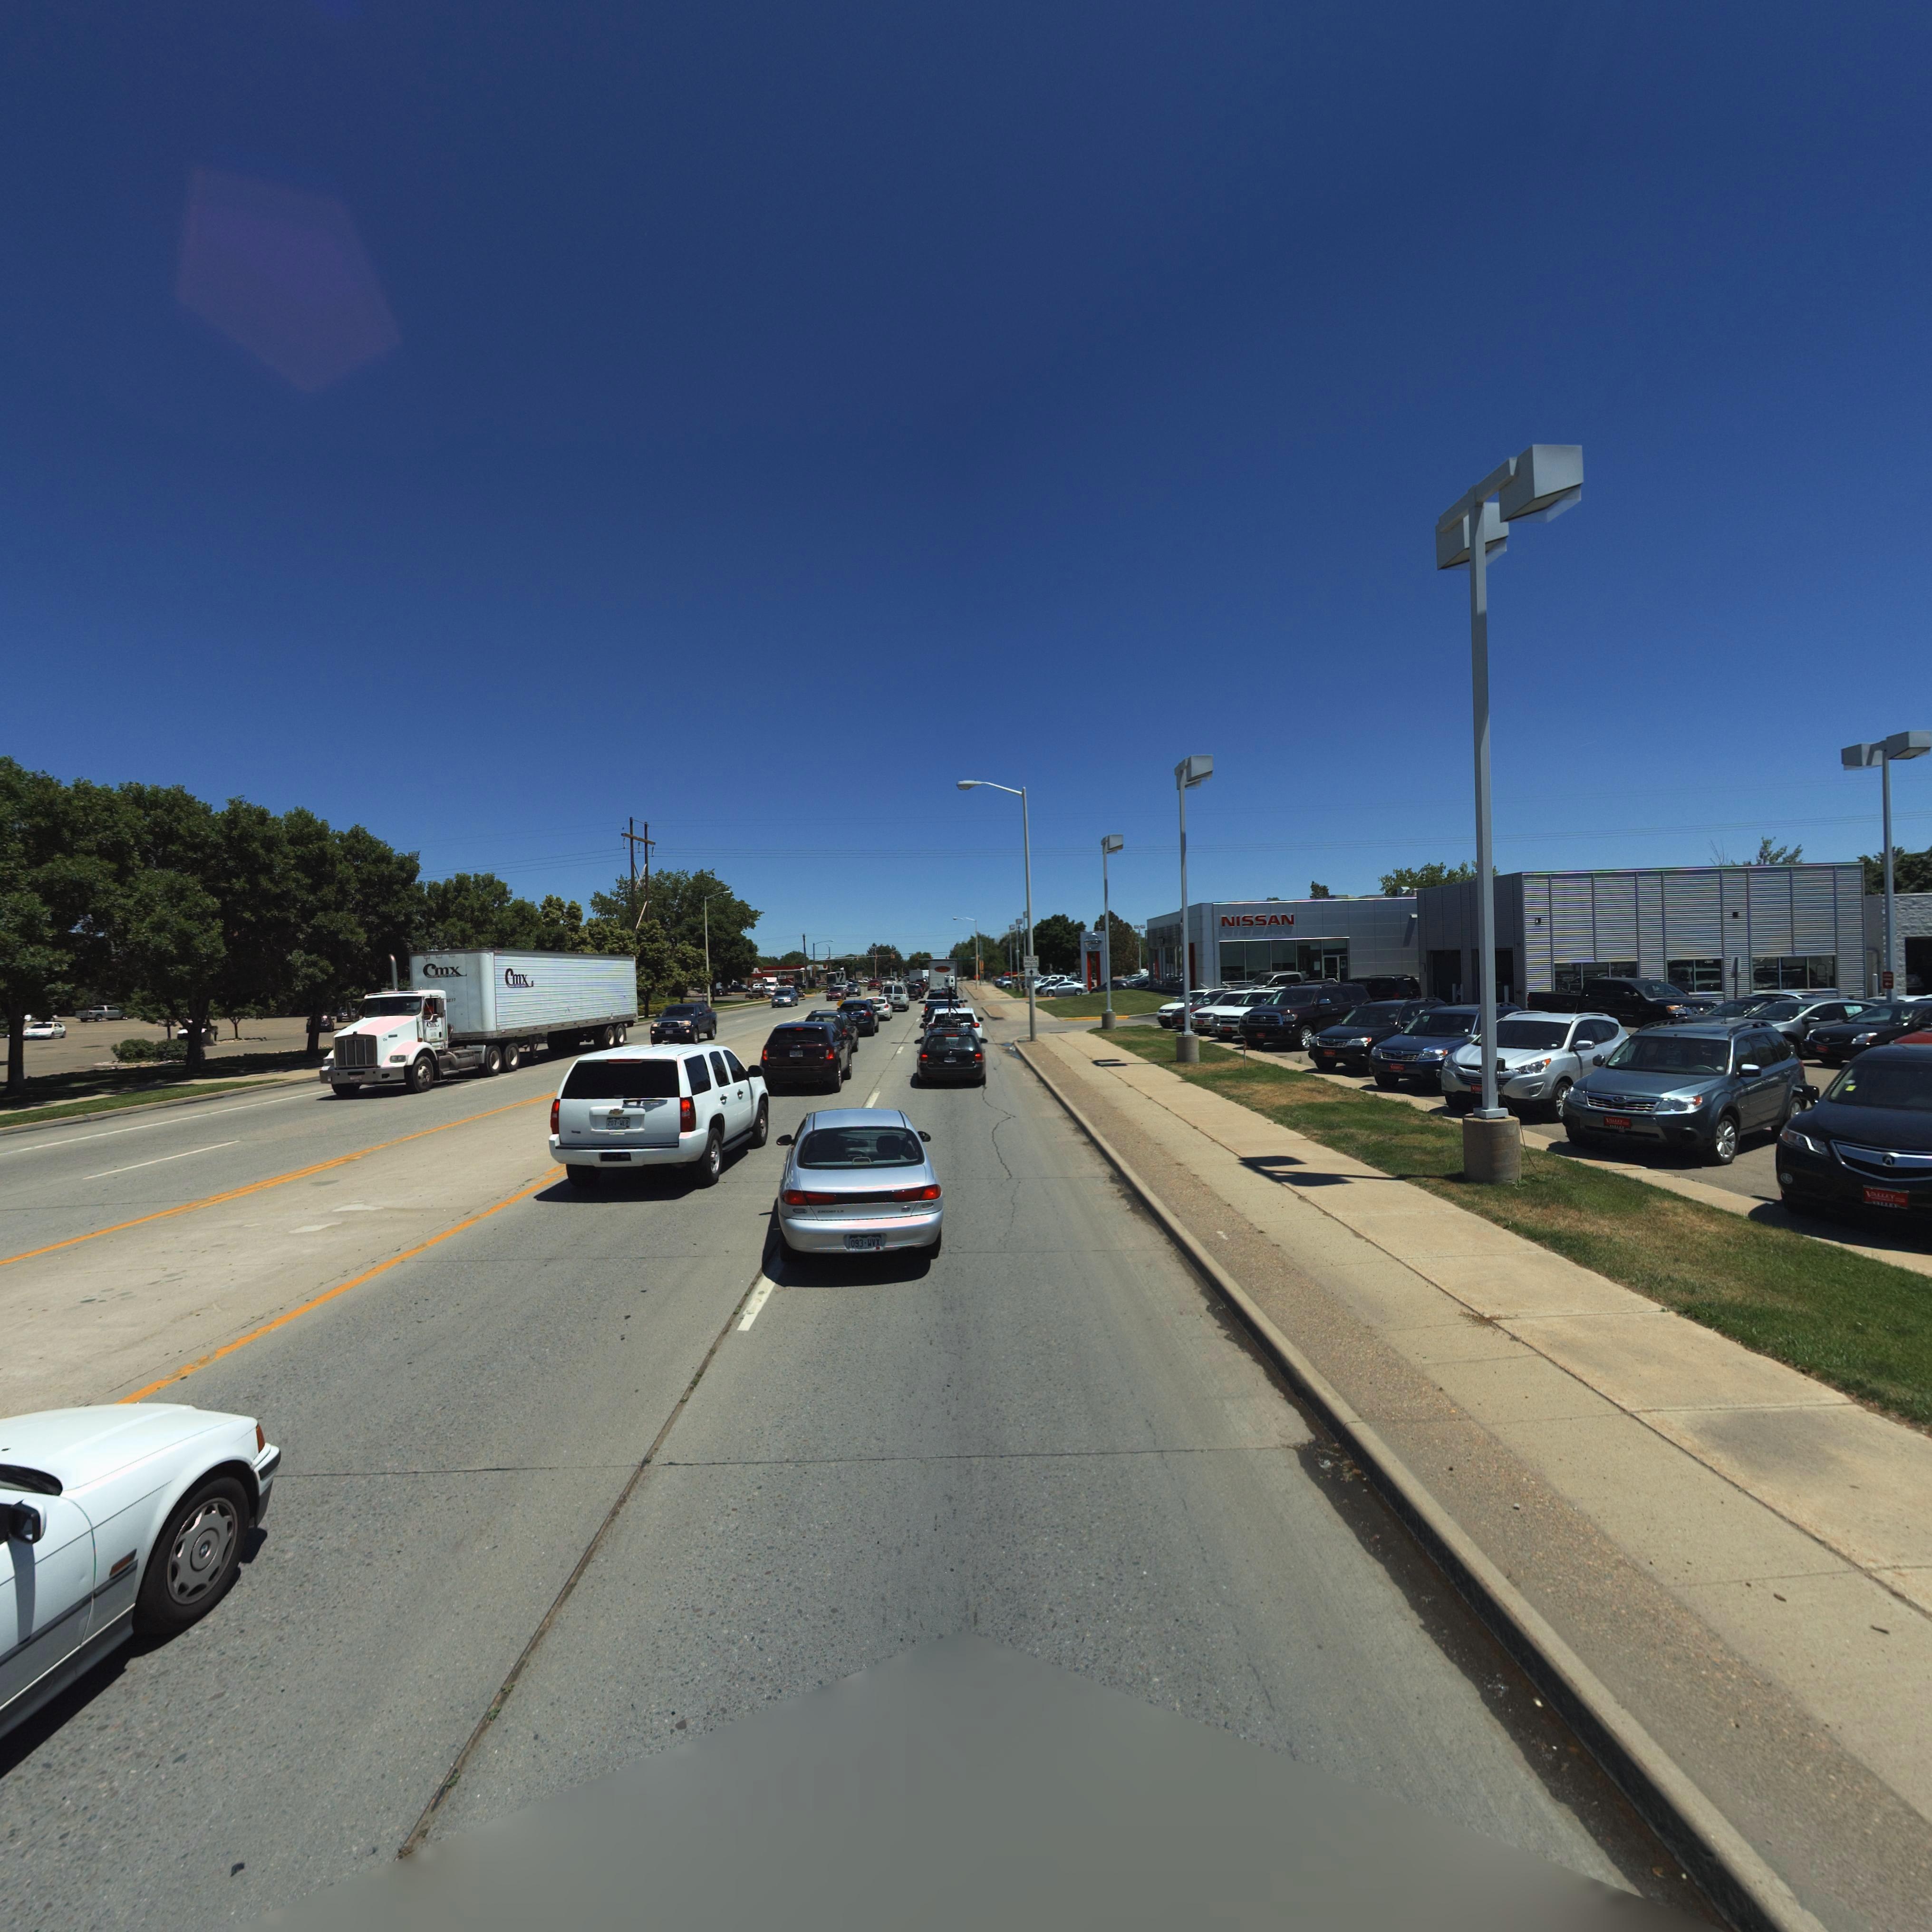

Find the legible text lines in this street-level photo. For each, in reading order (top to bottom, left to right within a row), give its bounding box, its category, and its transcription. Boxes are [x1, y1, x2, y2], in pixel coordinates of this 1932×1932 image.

[1221, 914, 1294, 927] BusinessName: NISSAN